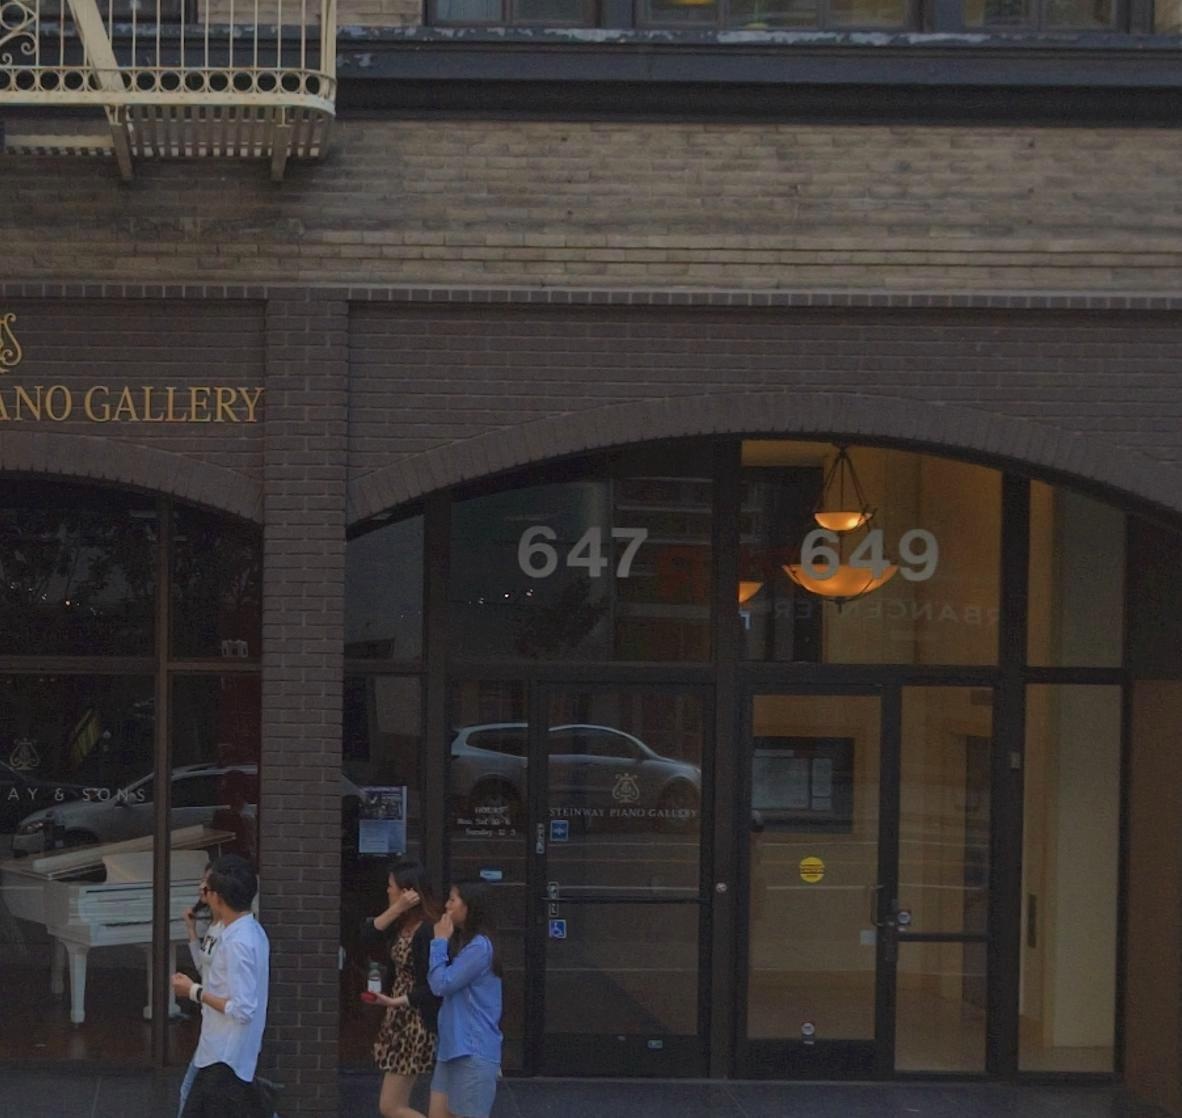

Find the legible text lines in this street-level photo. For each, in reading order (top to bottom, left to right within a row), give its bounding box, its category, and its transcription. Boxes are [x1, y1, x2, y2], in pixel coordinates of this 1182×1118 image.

[11, 381, 264, 423] BusinessName: NO GALLERY
[515, 522, 650, 580] StreetNumber: 647
[797, 526, 941, 584] StreetNumber: 649
[769, 595, 983, 628] None: ** ****A*
[548, 805, 699, 820] BusinessName: STEINWAY PIANO GALLERY